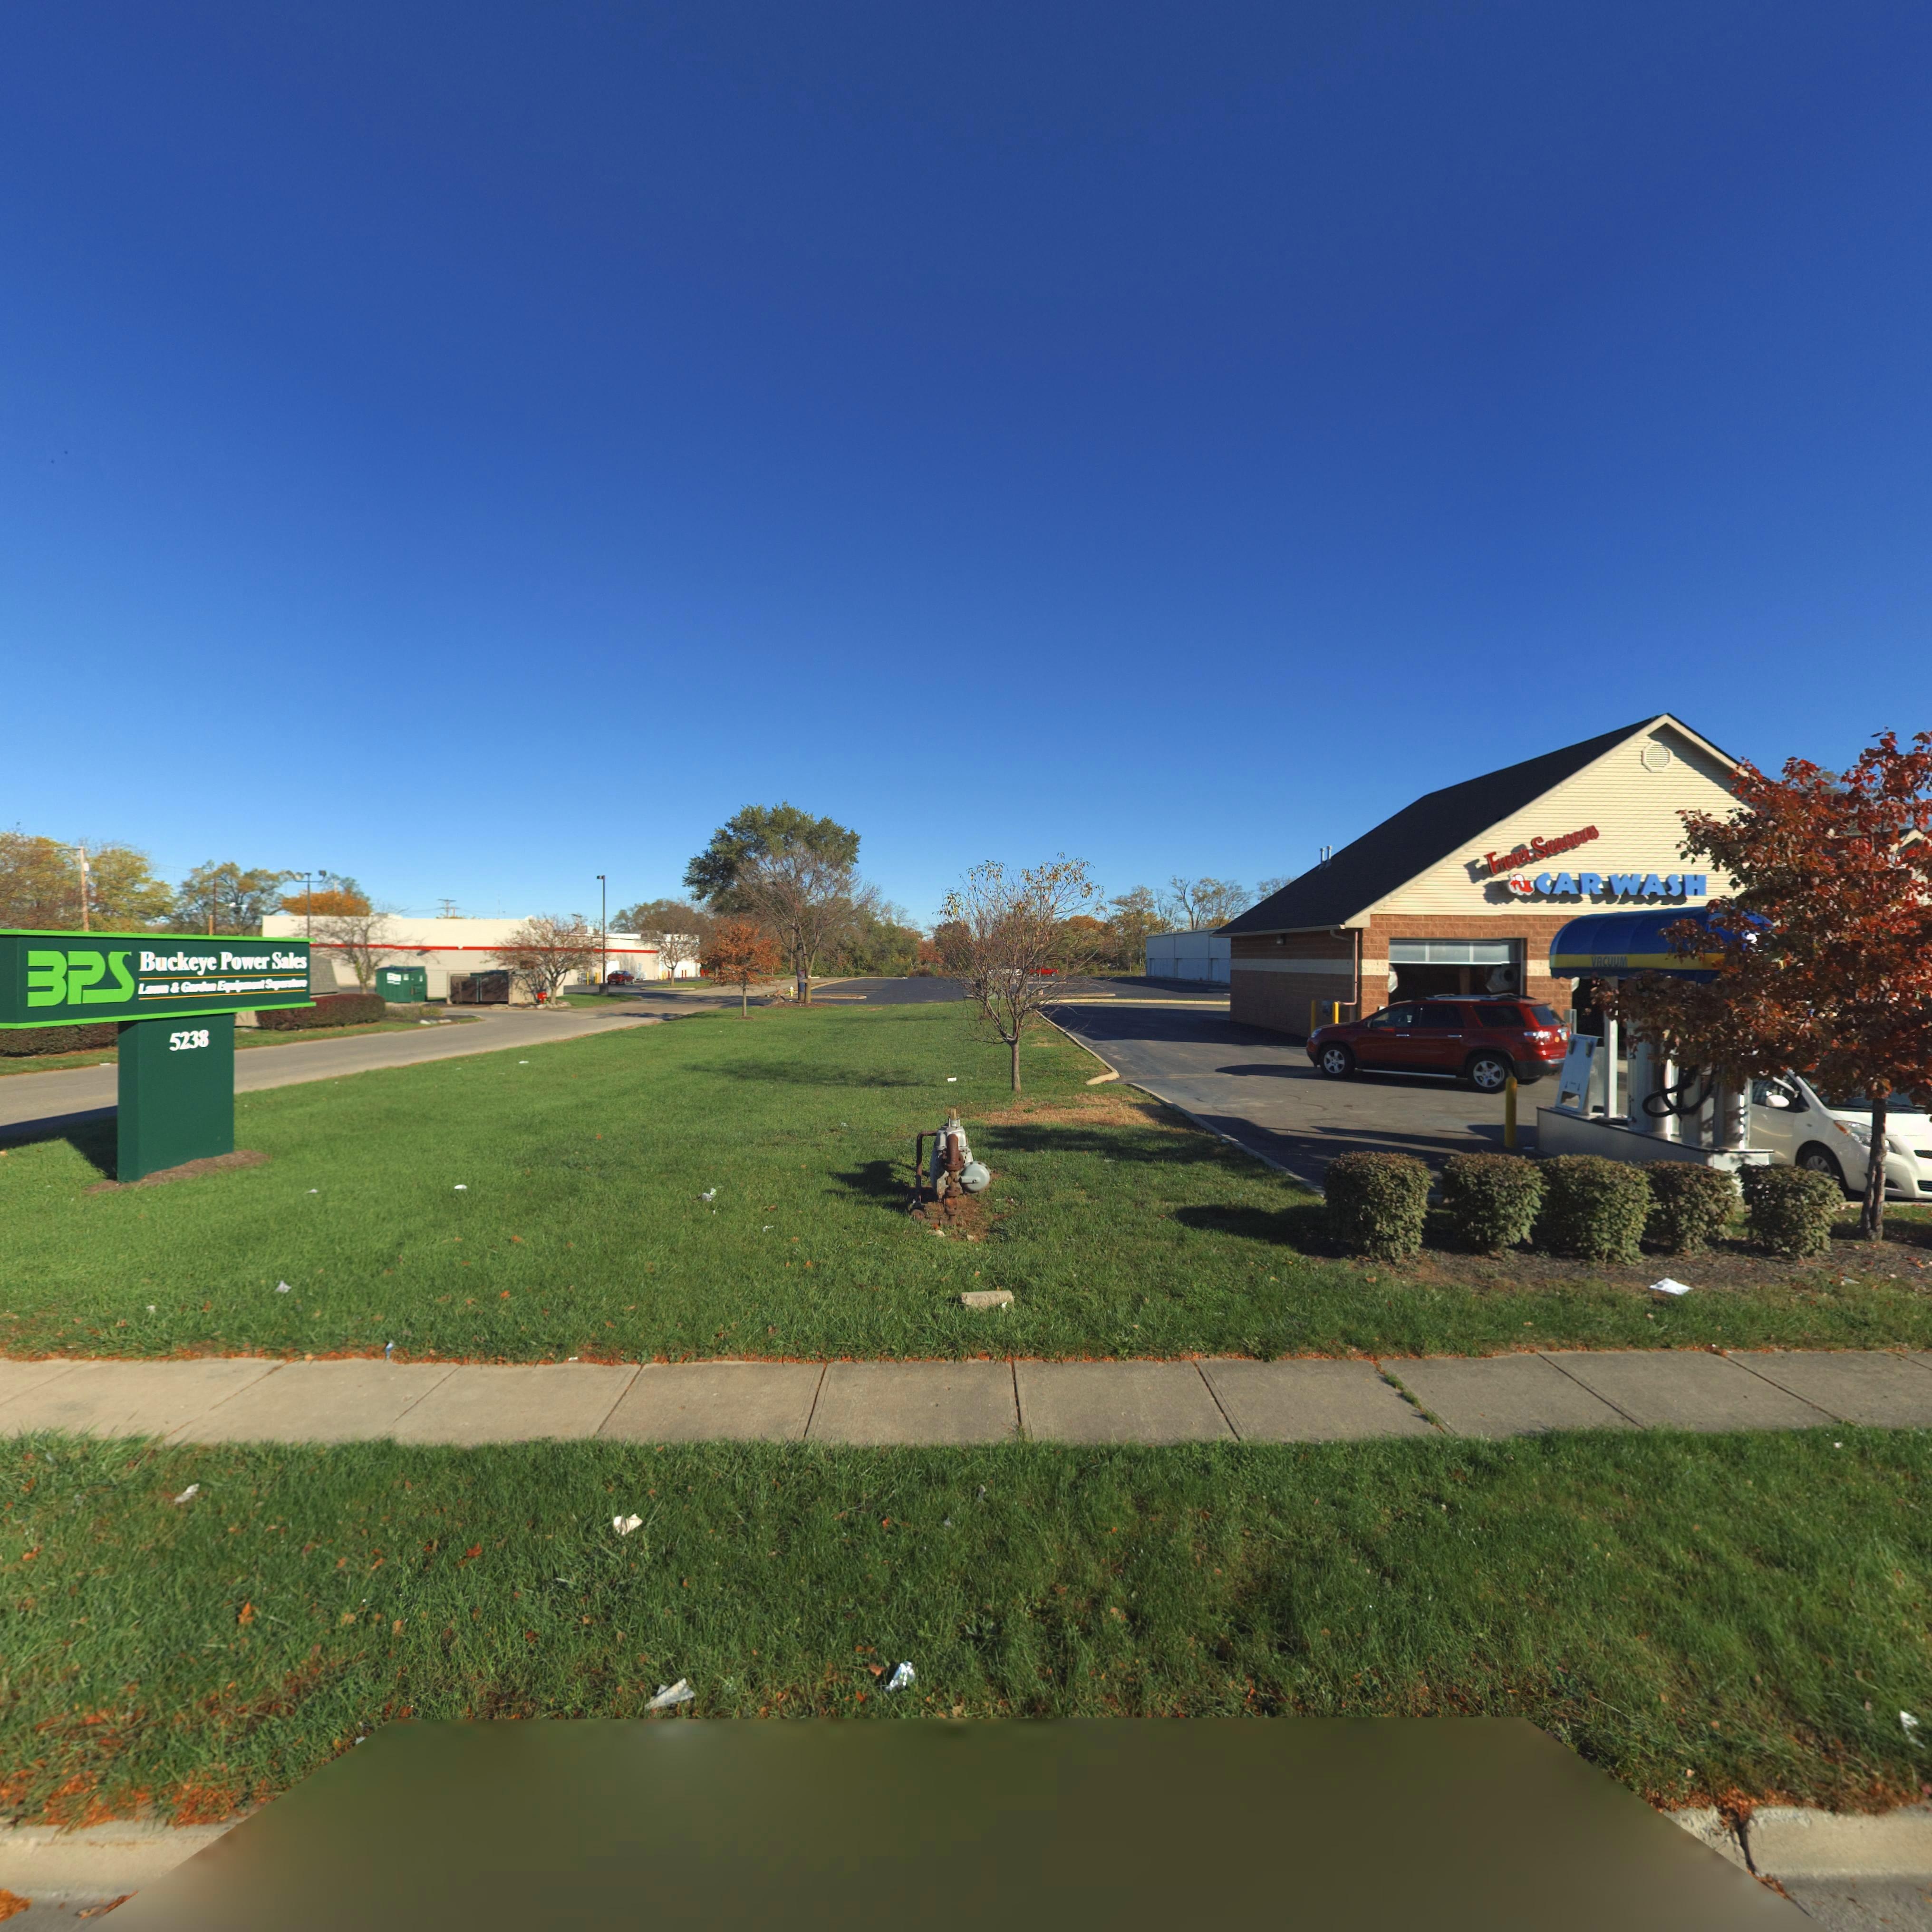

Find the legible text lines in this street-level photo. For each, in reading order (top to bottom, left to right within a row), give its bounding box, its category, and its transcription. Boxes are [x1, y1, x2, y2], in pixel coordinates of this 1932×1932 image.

[167, 1027, 211, 1053] StreetNumber: 5238